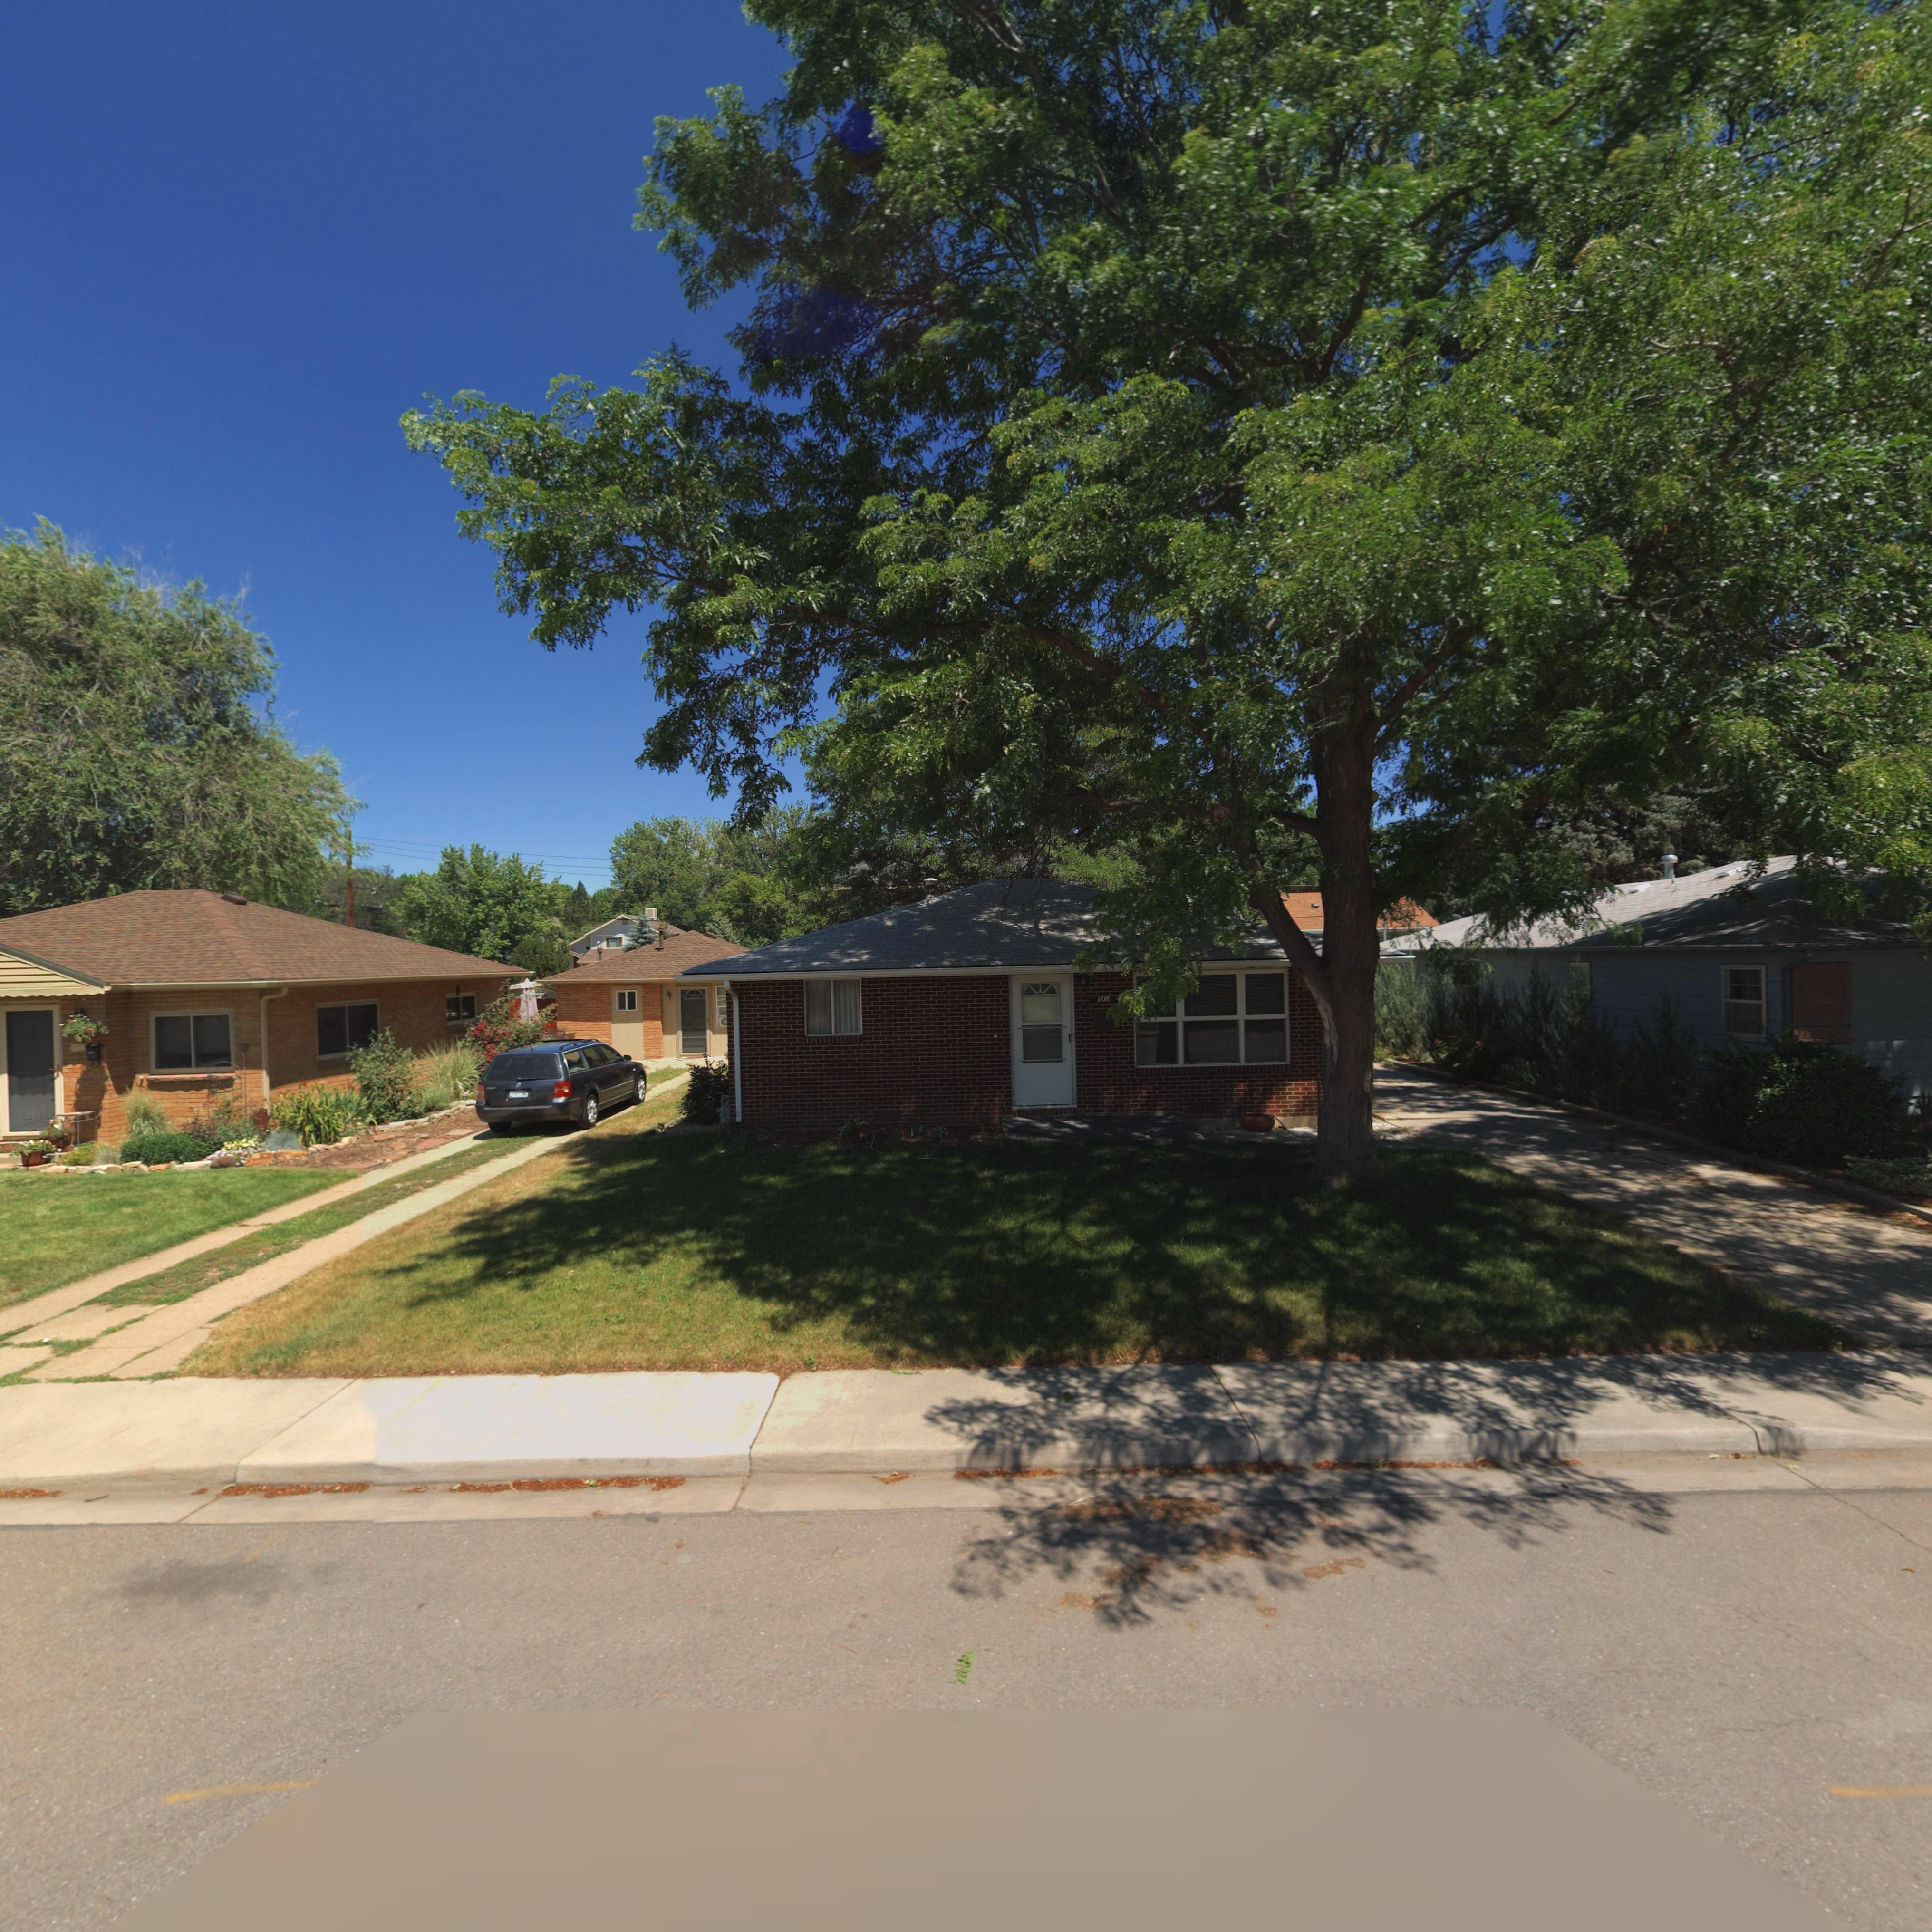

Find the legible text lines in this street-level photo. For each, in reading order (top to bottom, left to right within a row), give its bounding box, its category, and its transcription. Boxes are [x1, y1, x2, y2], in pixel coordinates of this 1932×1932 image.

[1097, 995, 1110, 1002] StreetNumber: 1108